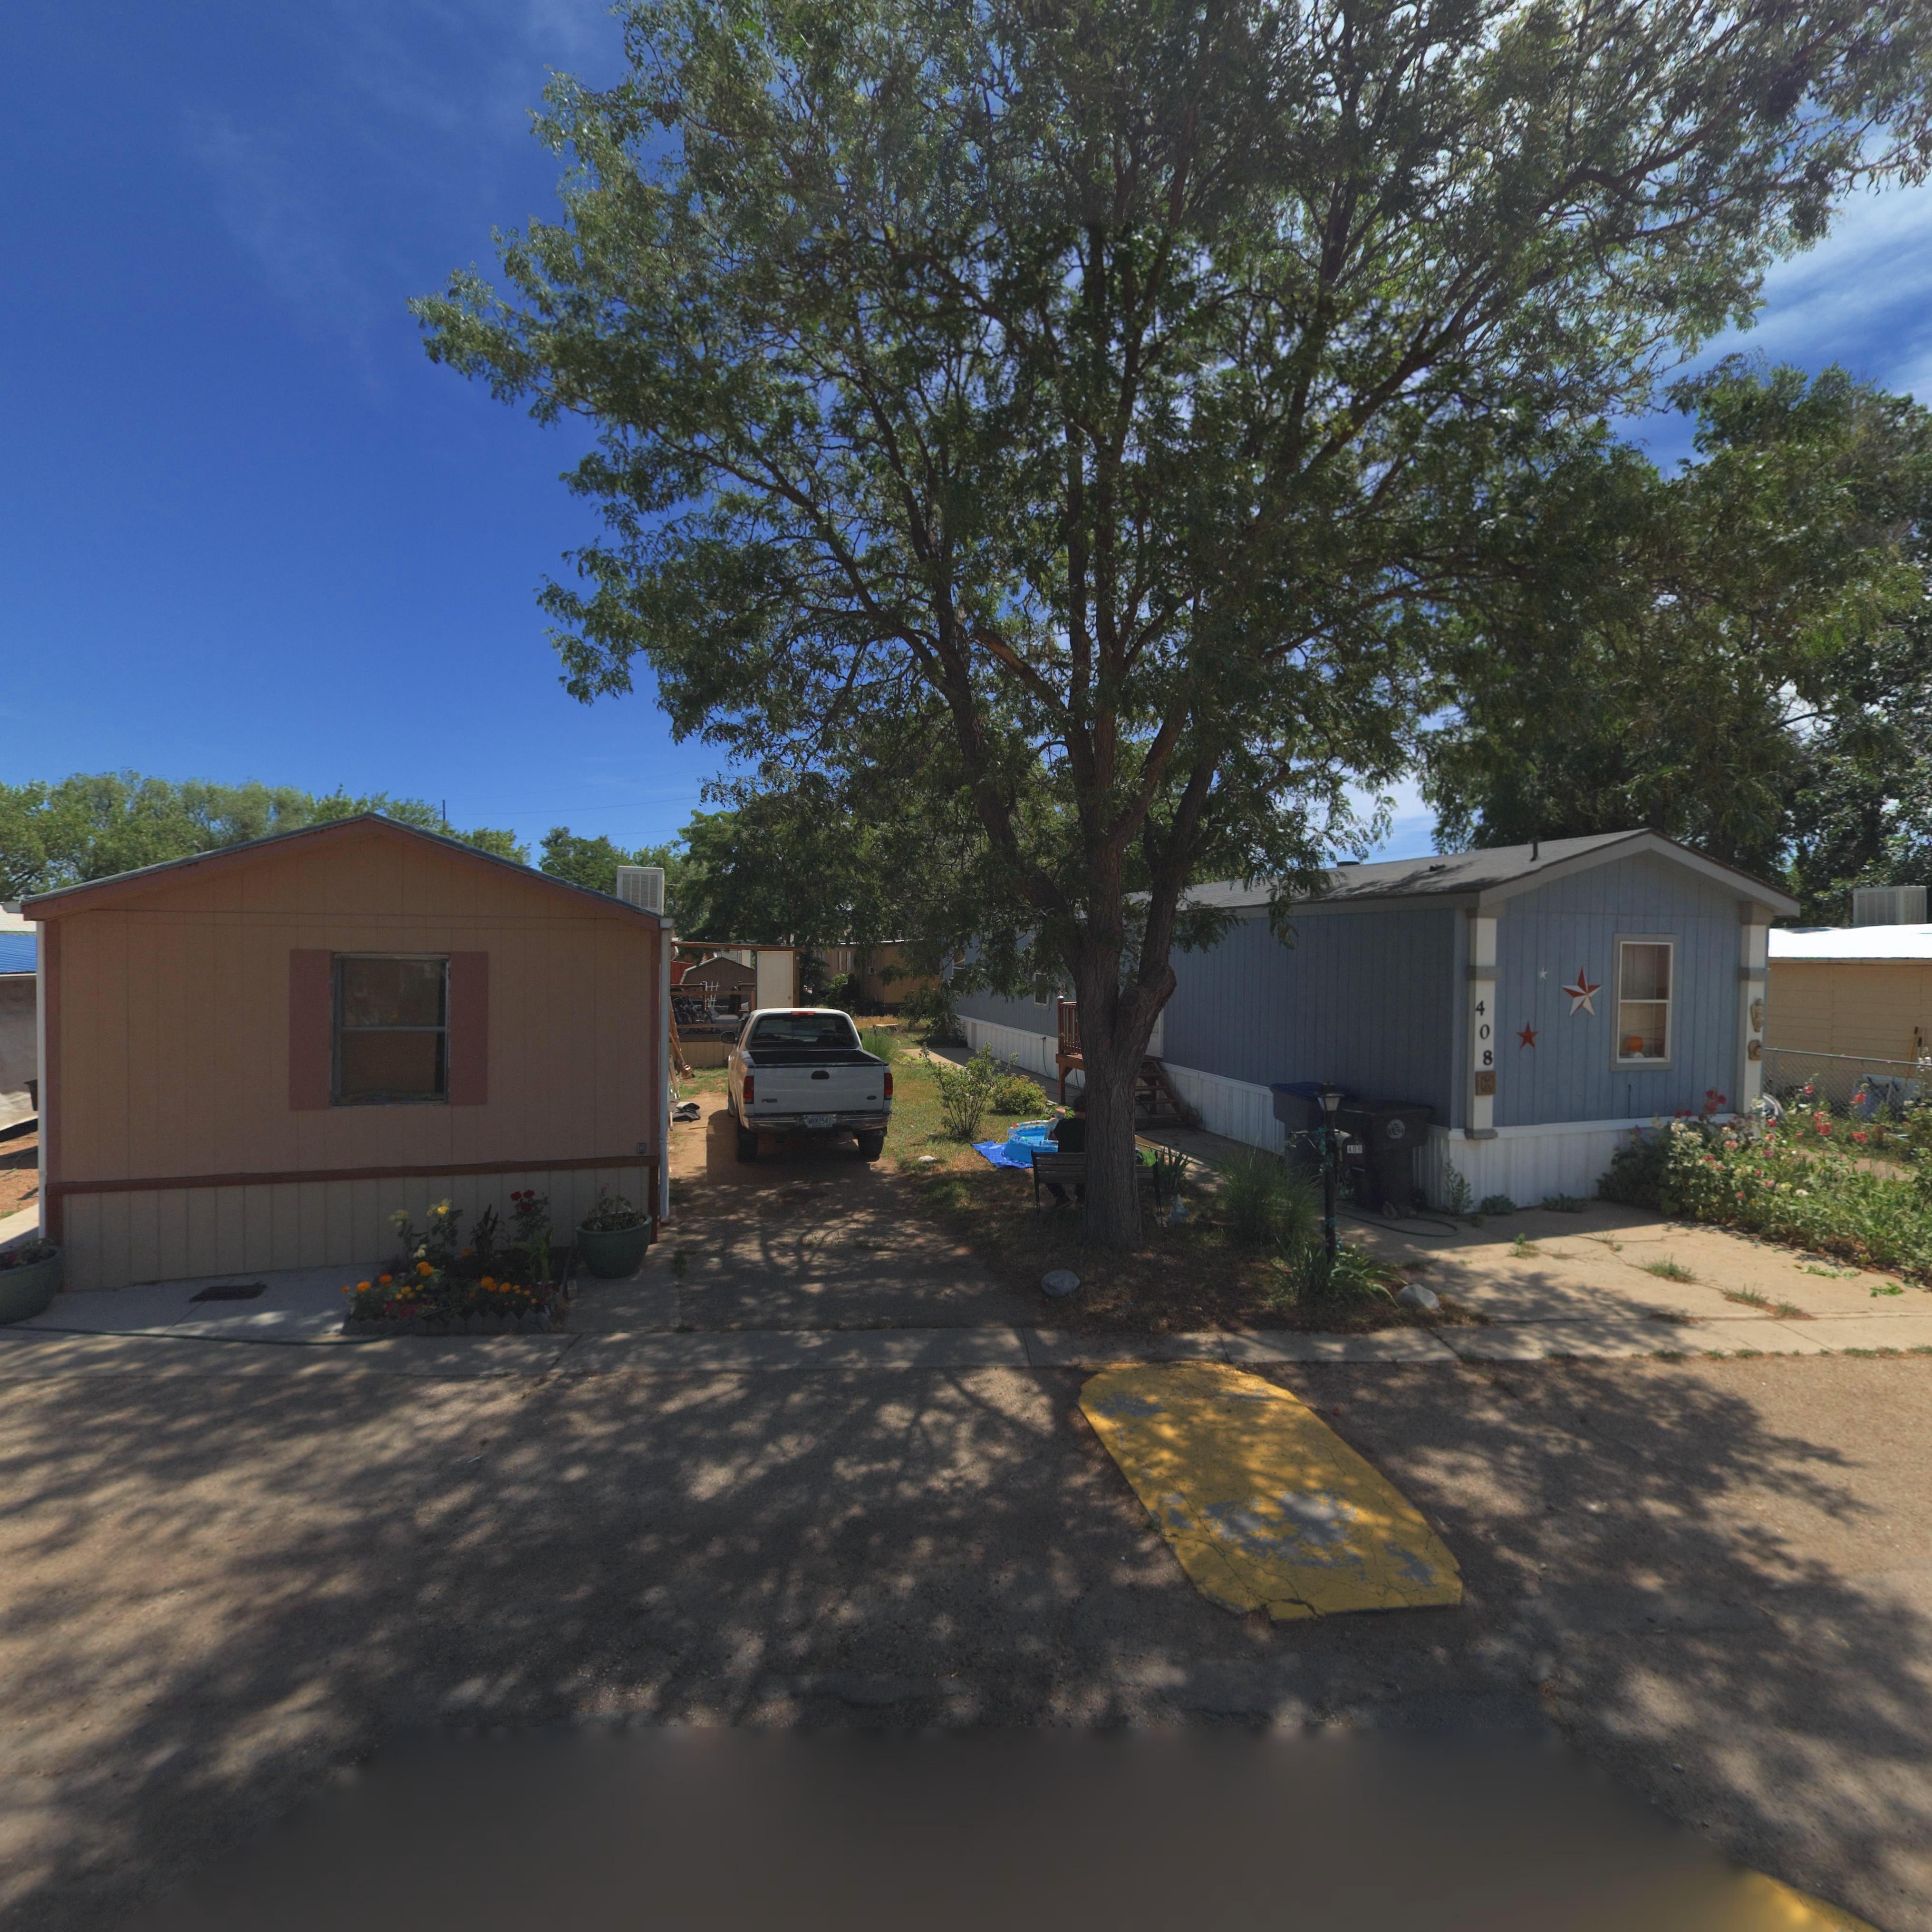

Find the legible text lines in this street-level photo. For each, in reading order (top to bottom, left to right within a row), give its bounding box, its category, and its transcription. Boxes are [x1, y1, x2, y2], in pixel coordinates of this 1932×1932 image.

[1474, 998, 1494, 1065] StreetNumber: 408
[1347, 1145, 1361, 1153] StreetNumber: 408